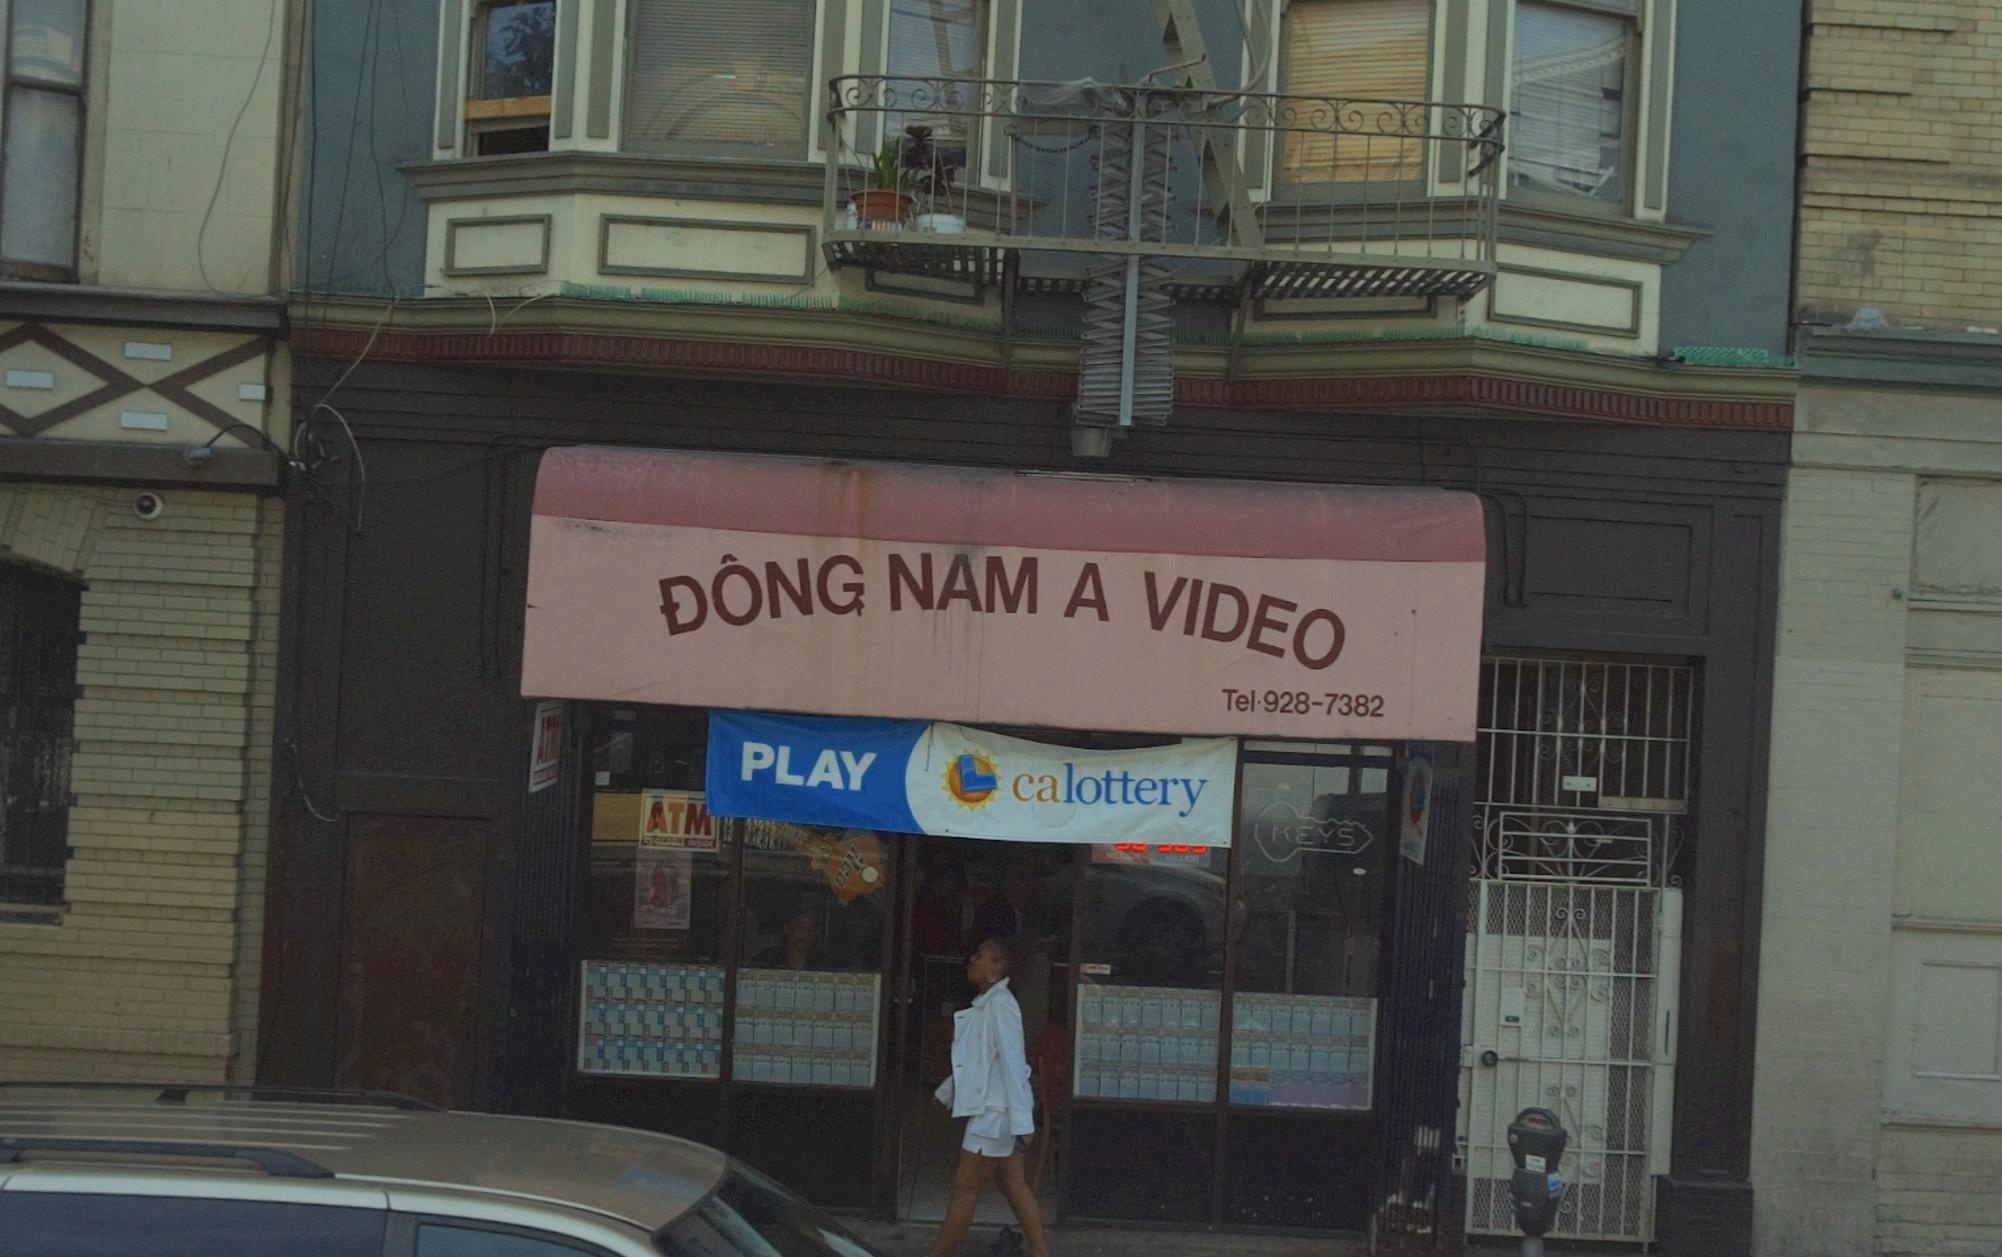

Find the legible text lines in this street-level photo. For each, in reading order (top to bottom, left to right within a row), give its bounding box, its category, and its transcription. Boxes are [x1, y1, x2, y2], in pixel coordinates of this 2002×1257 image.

[652, 544, 1352, 675] BusinessName: DONG NAM A VIDEO
[1217, 684, 1390, 722] None: Tel*928-7382
[534, 713, 553, 768] None: AT
[736, 736, 882, 796] None: PLAY
[954, 752, 1000, 795] None: L
[1010, 758, 1213, 819] None: ca lottery
[642, 798, 713, 838] None: ATM
[1269, 820, 1358, 850] None: *EYS
[828, 840, 868, 892] None: O***